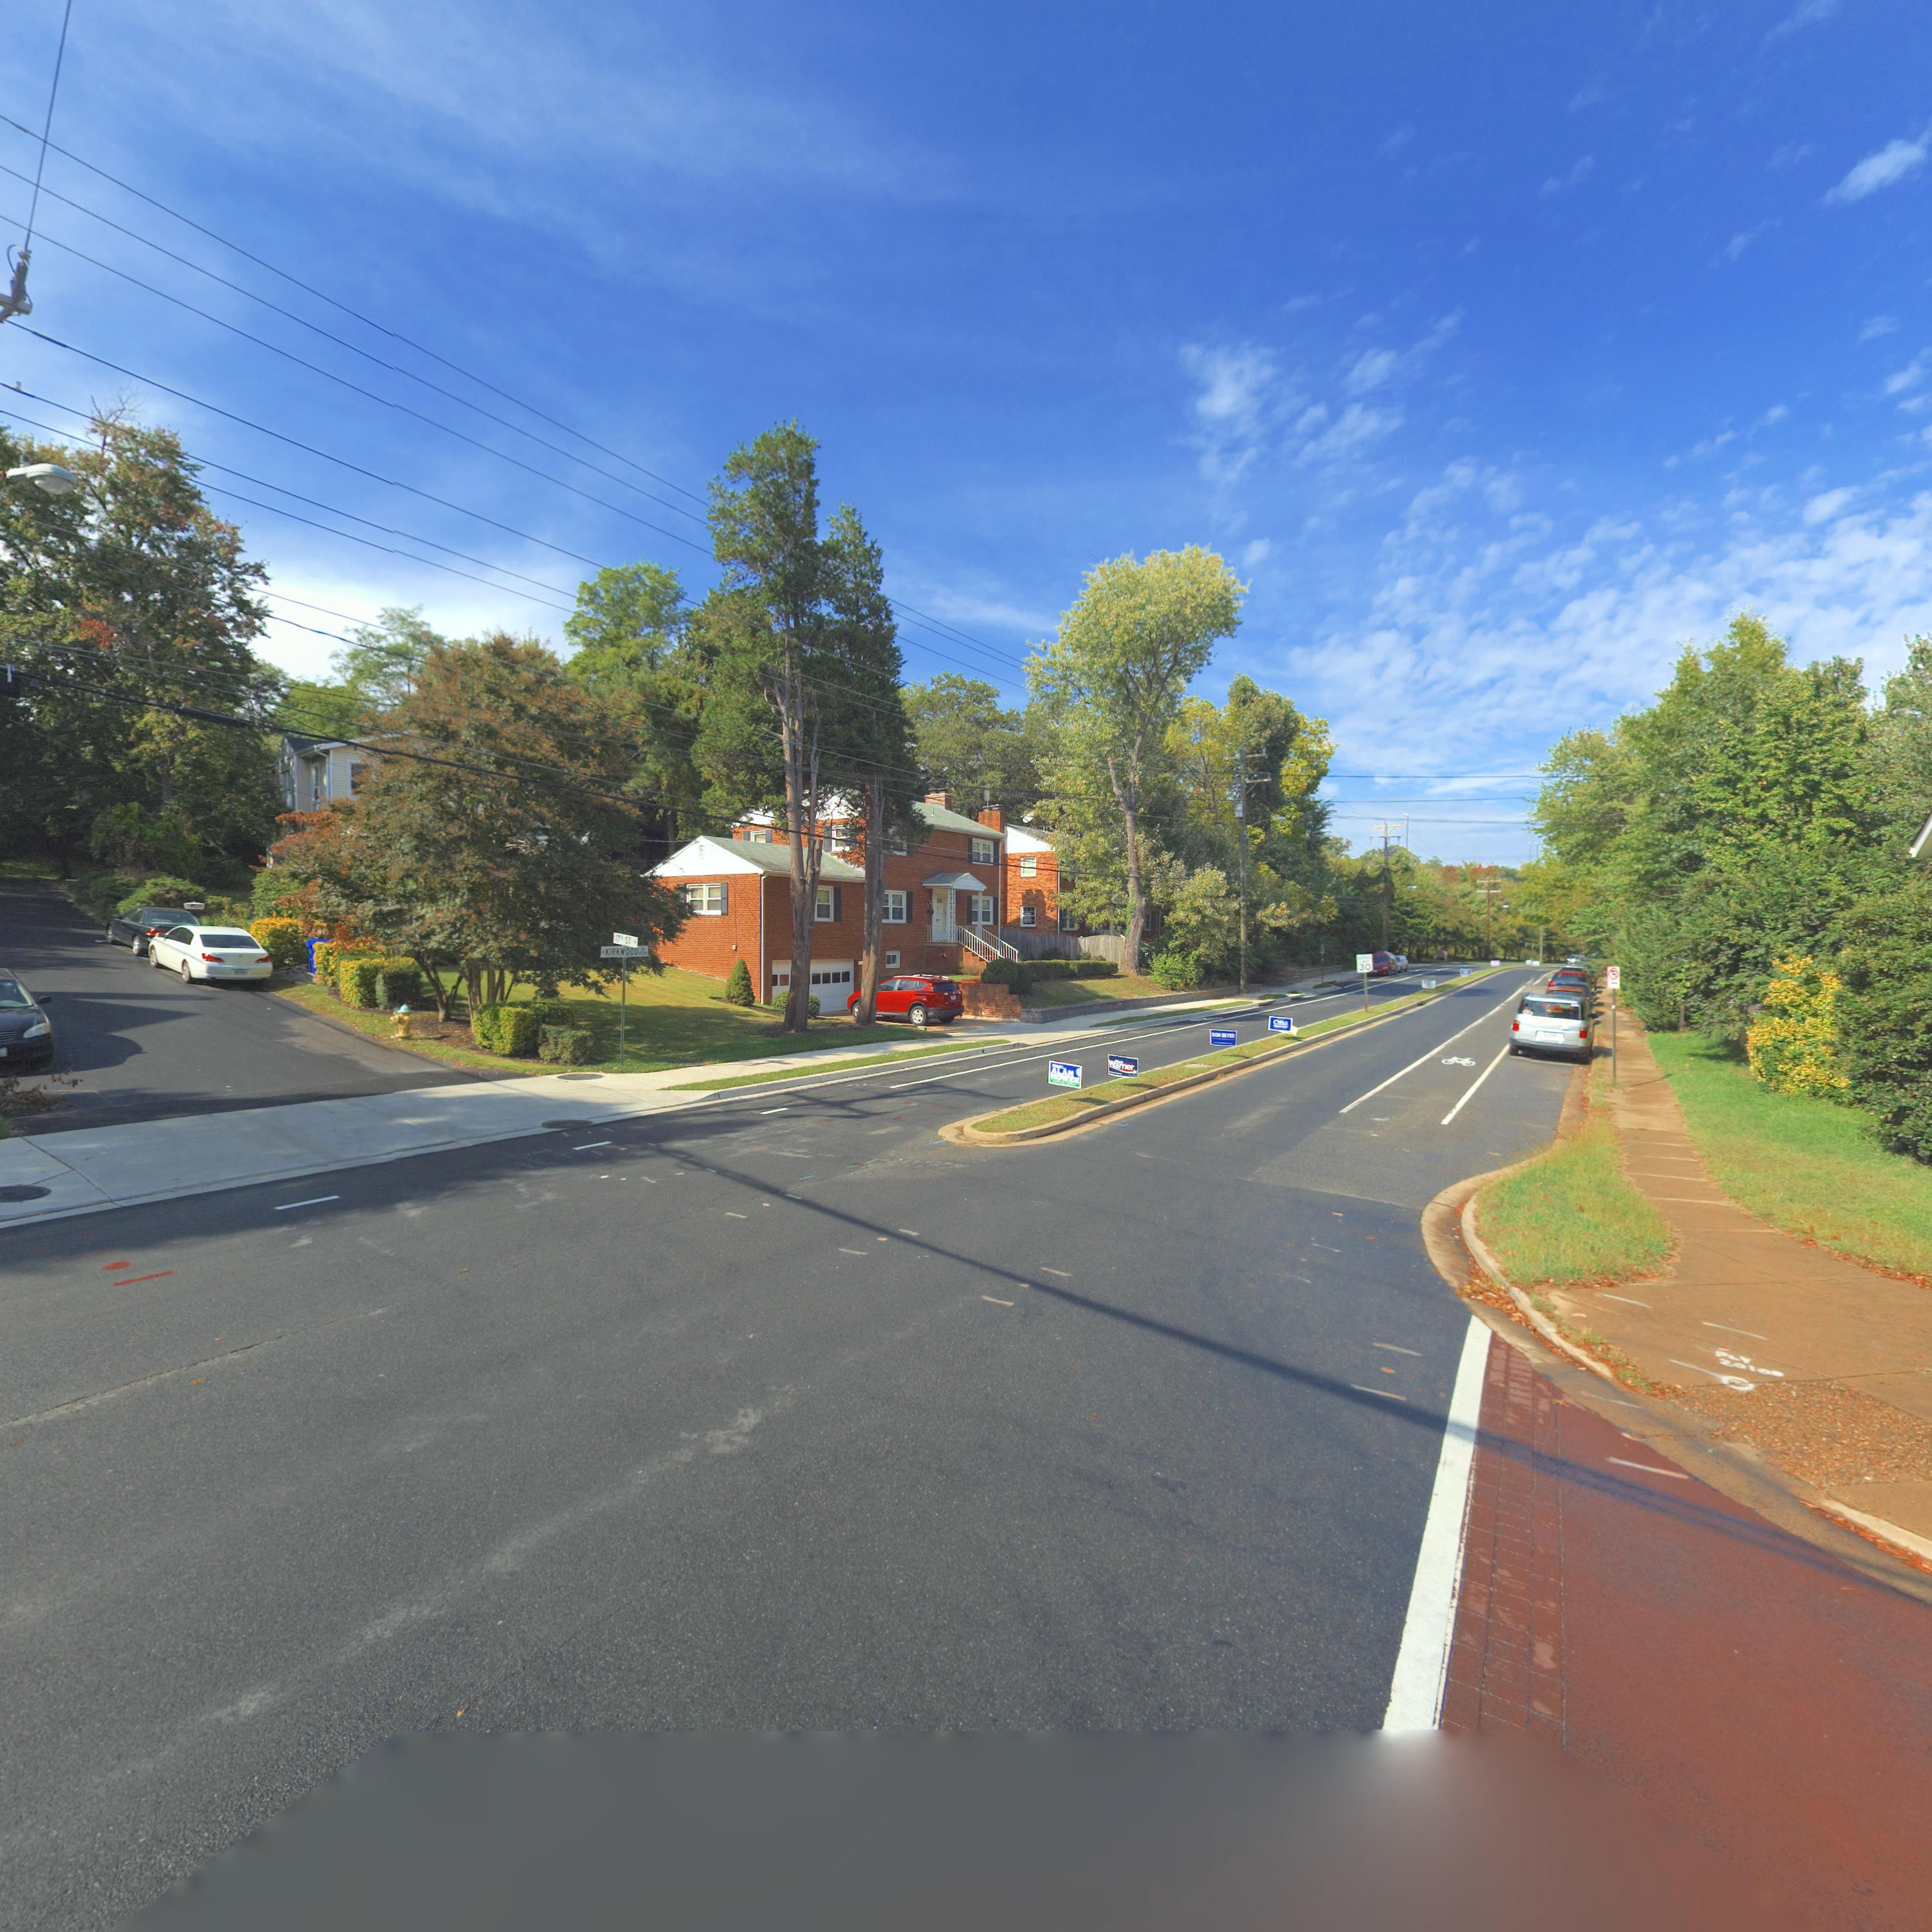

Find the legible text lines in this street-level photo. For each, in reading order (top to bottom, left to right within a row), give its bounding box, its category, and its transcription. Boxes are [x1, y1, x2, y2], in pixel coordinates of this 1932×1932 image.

[614, 933, 633, 946] StreetName: 17TH ST
[604, 947, 639, 957] StreetName: KIRKWOOD
[1357, 962, 1372, 972] None: 30
[1210, 1031, 1236, 1039] None: DON BEYER
[1107, 1058, 1135, 1072] None: Warner
[1050, 1065, 1074, 1078] None: ALAN
[1050, 1072, 1080, 1085] None: HOWZE